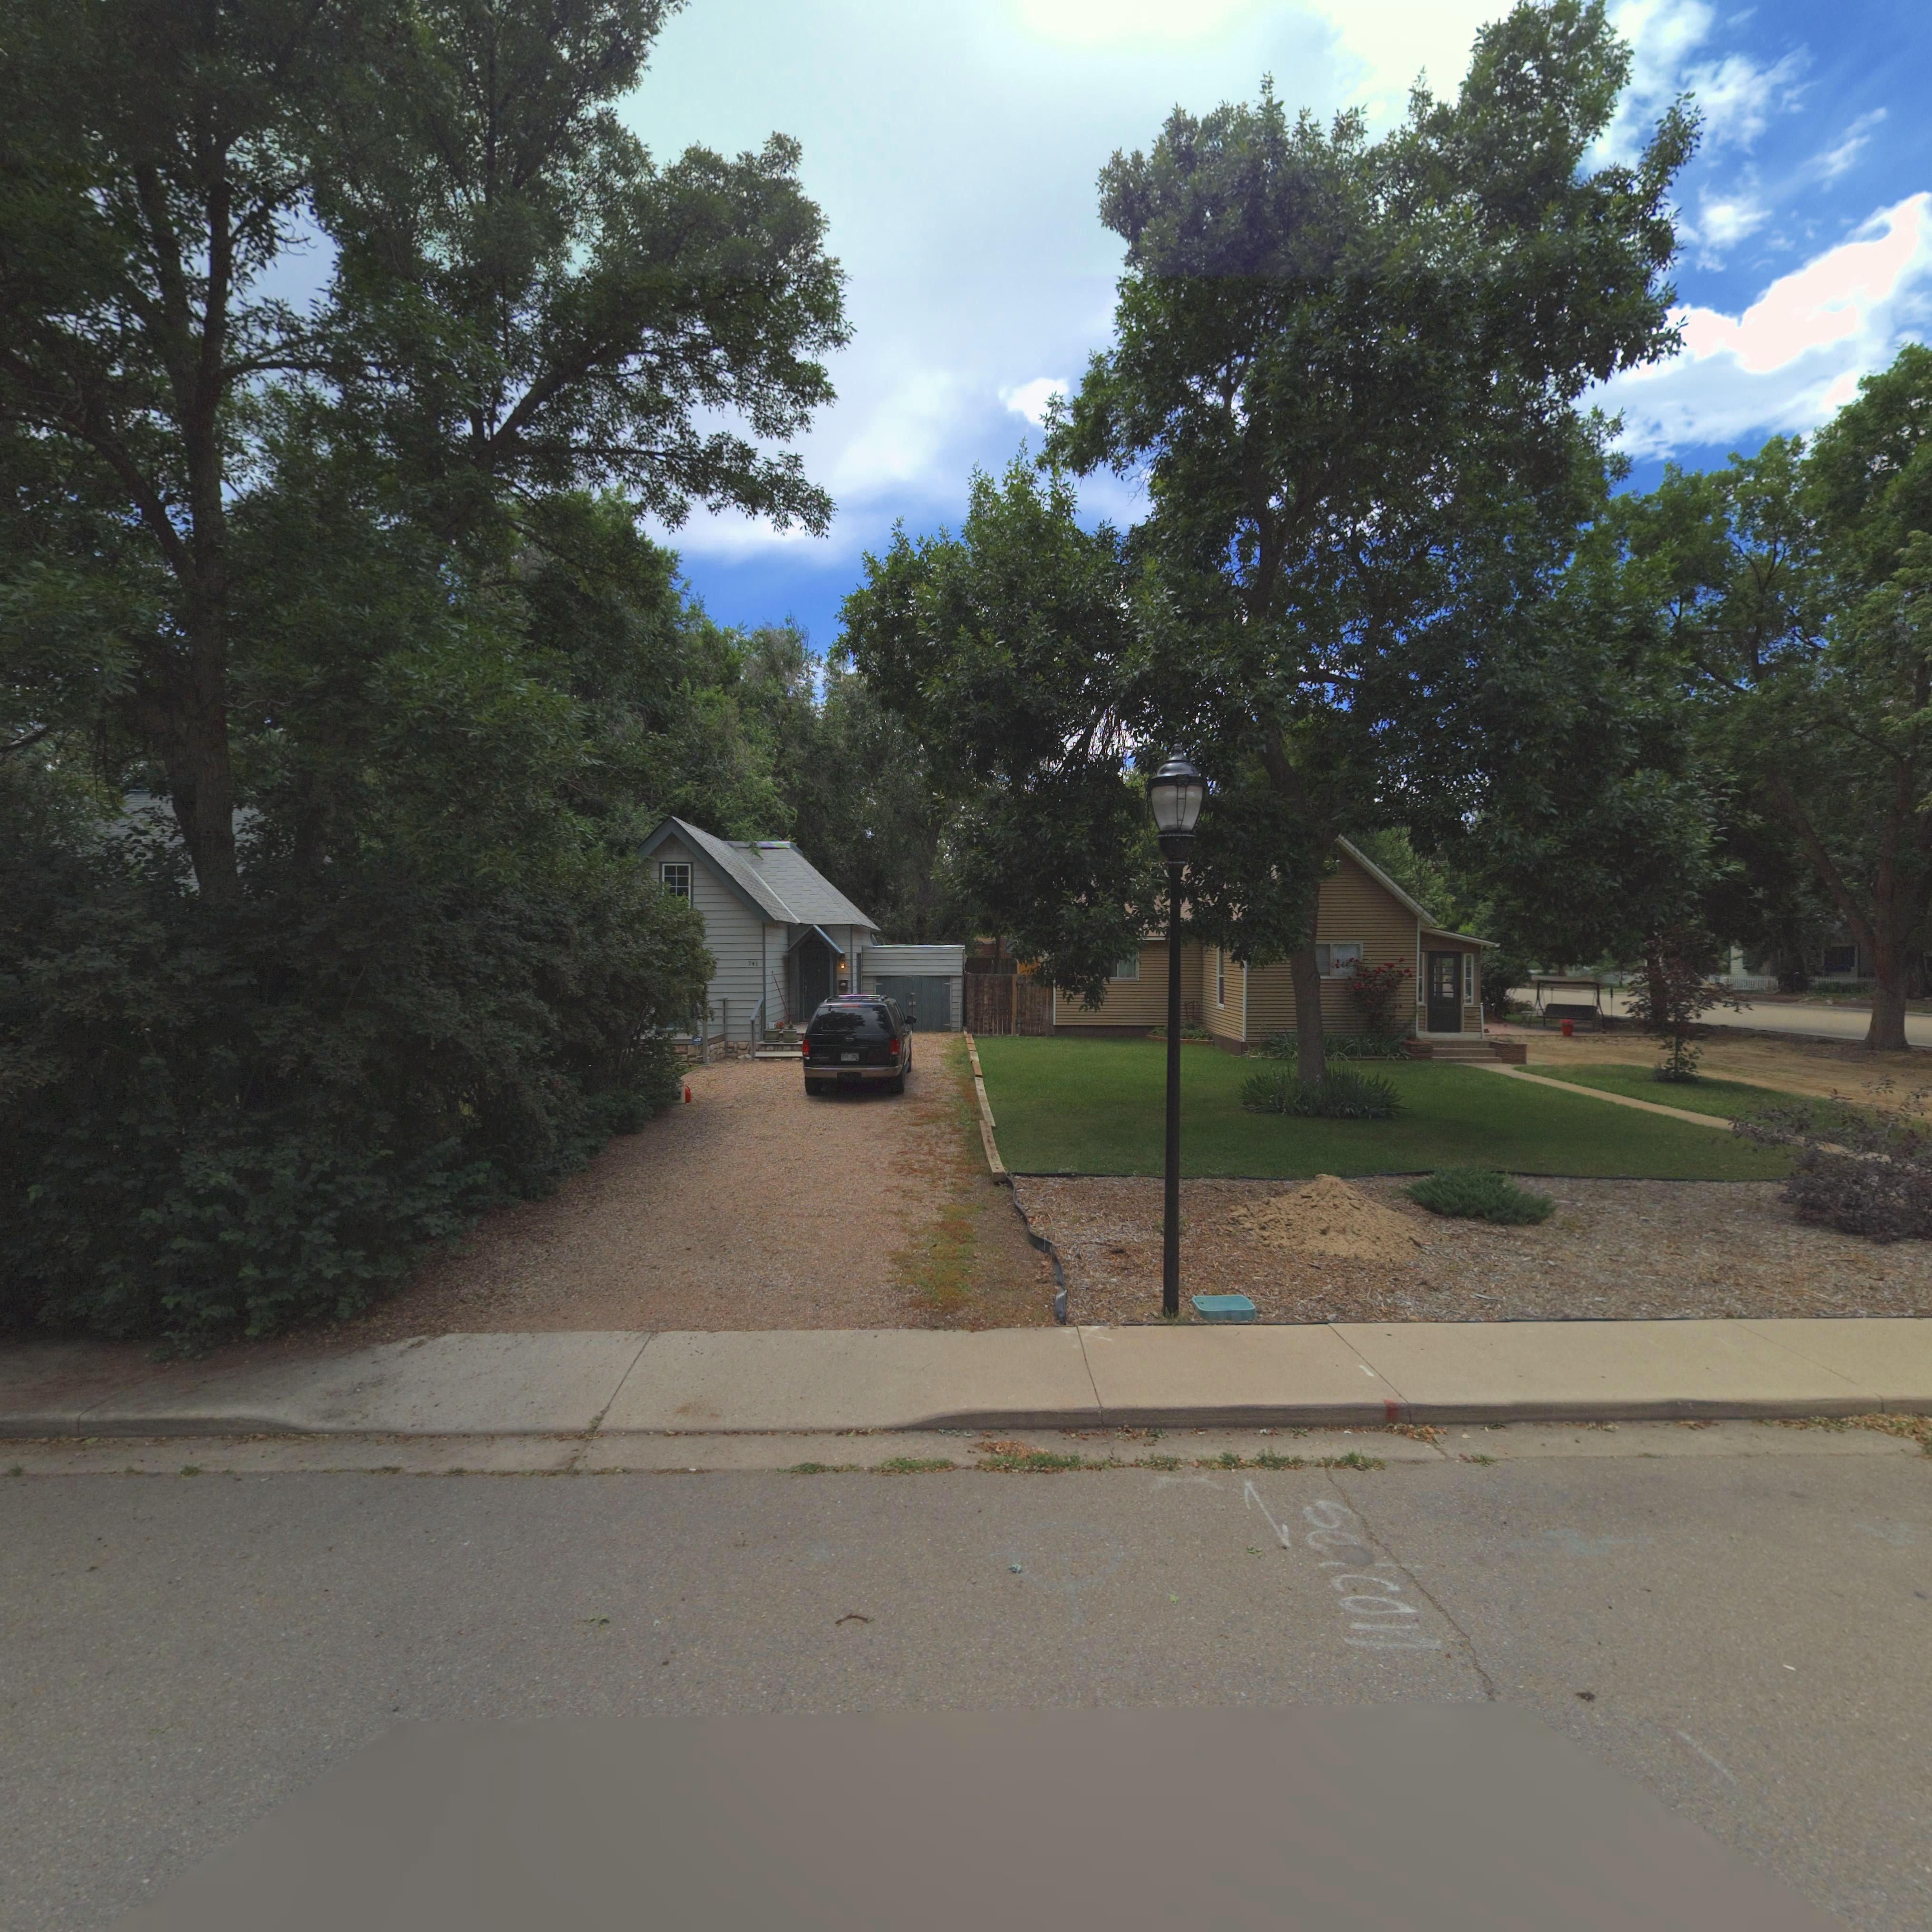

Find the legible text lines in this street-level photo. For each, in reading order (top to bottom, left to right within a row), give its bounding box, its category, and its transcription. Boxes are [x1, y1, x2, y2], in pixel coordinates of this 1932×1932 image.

[747, 960, 758, 966] StreetNumber: 741